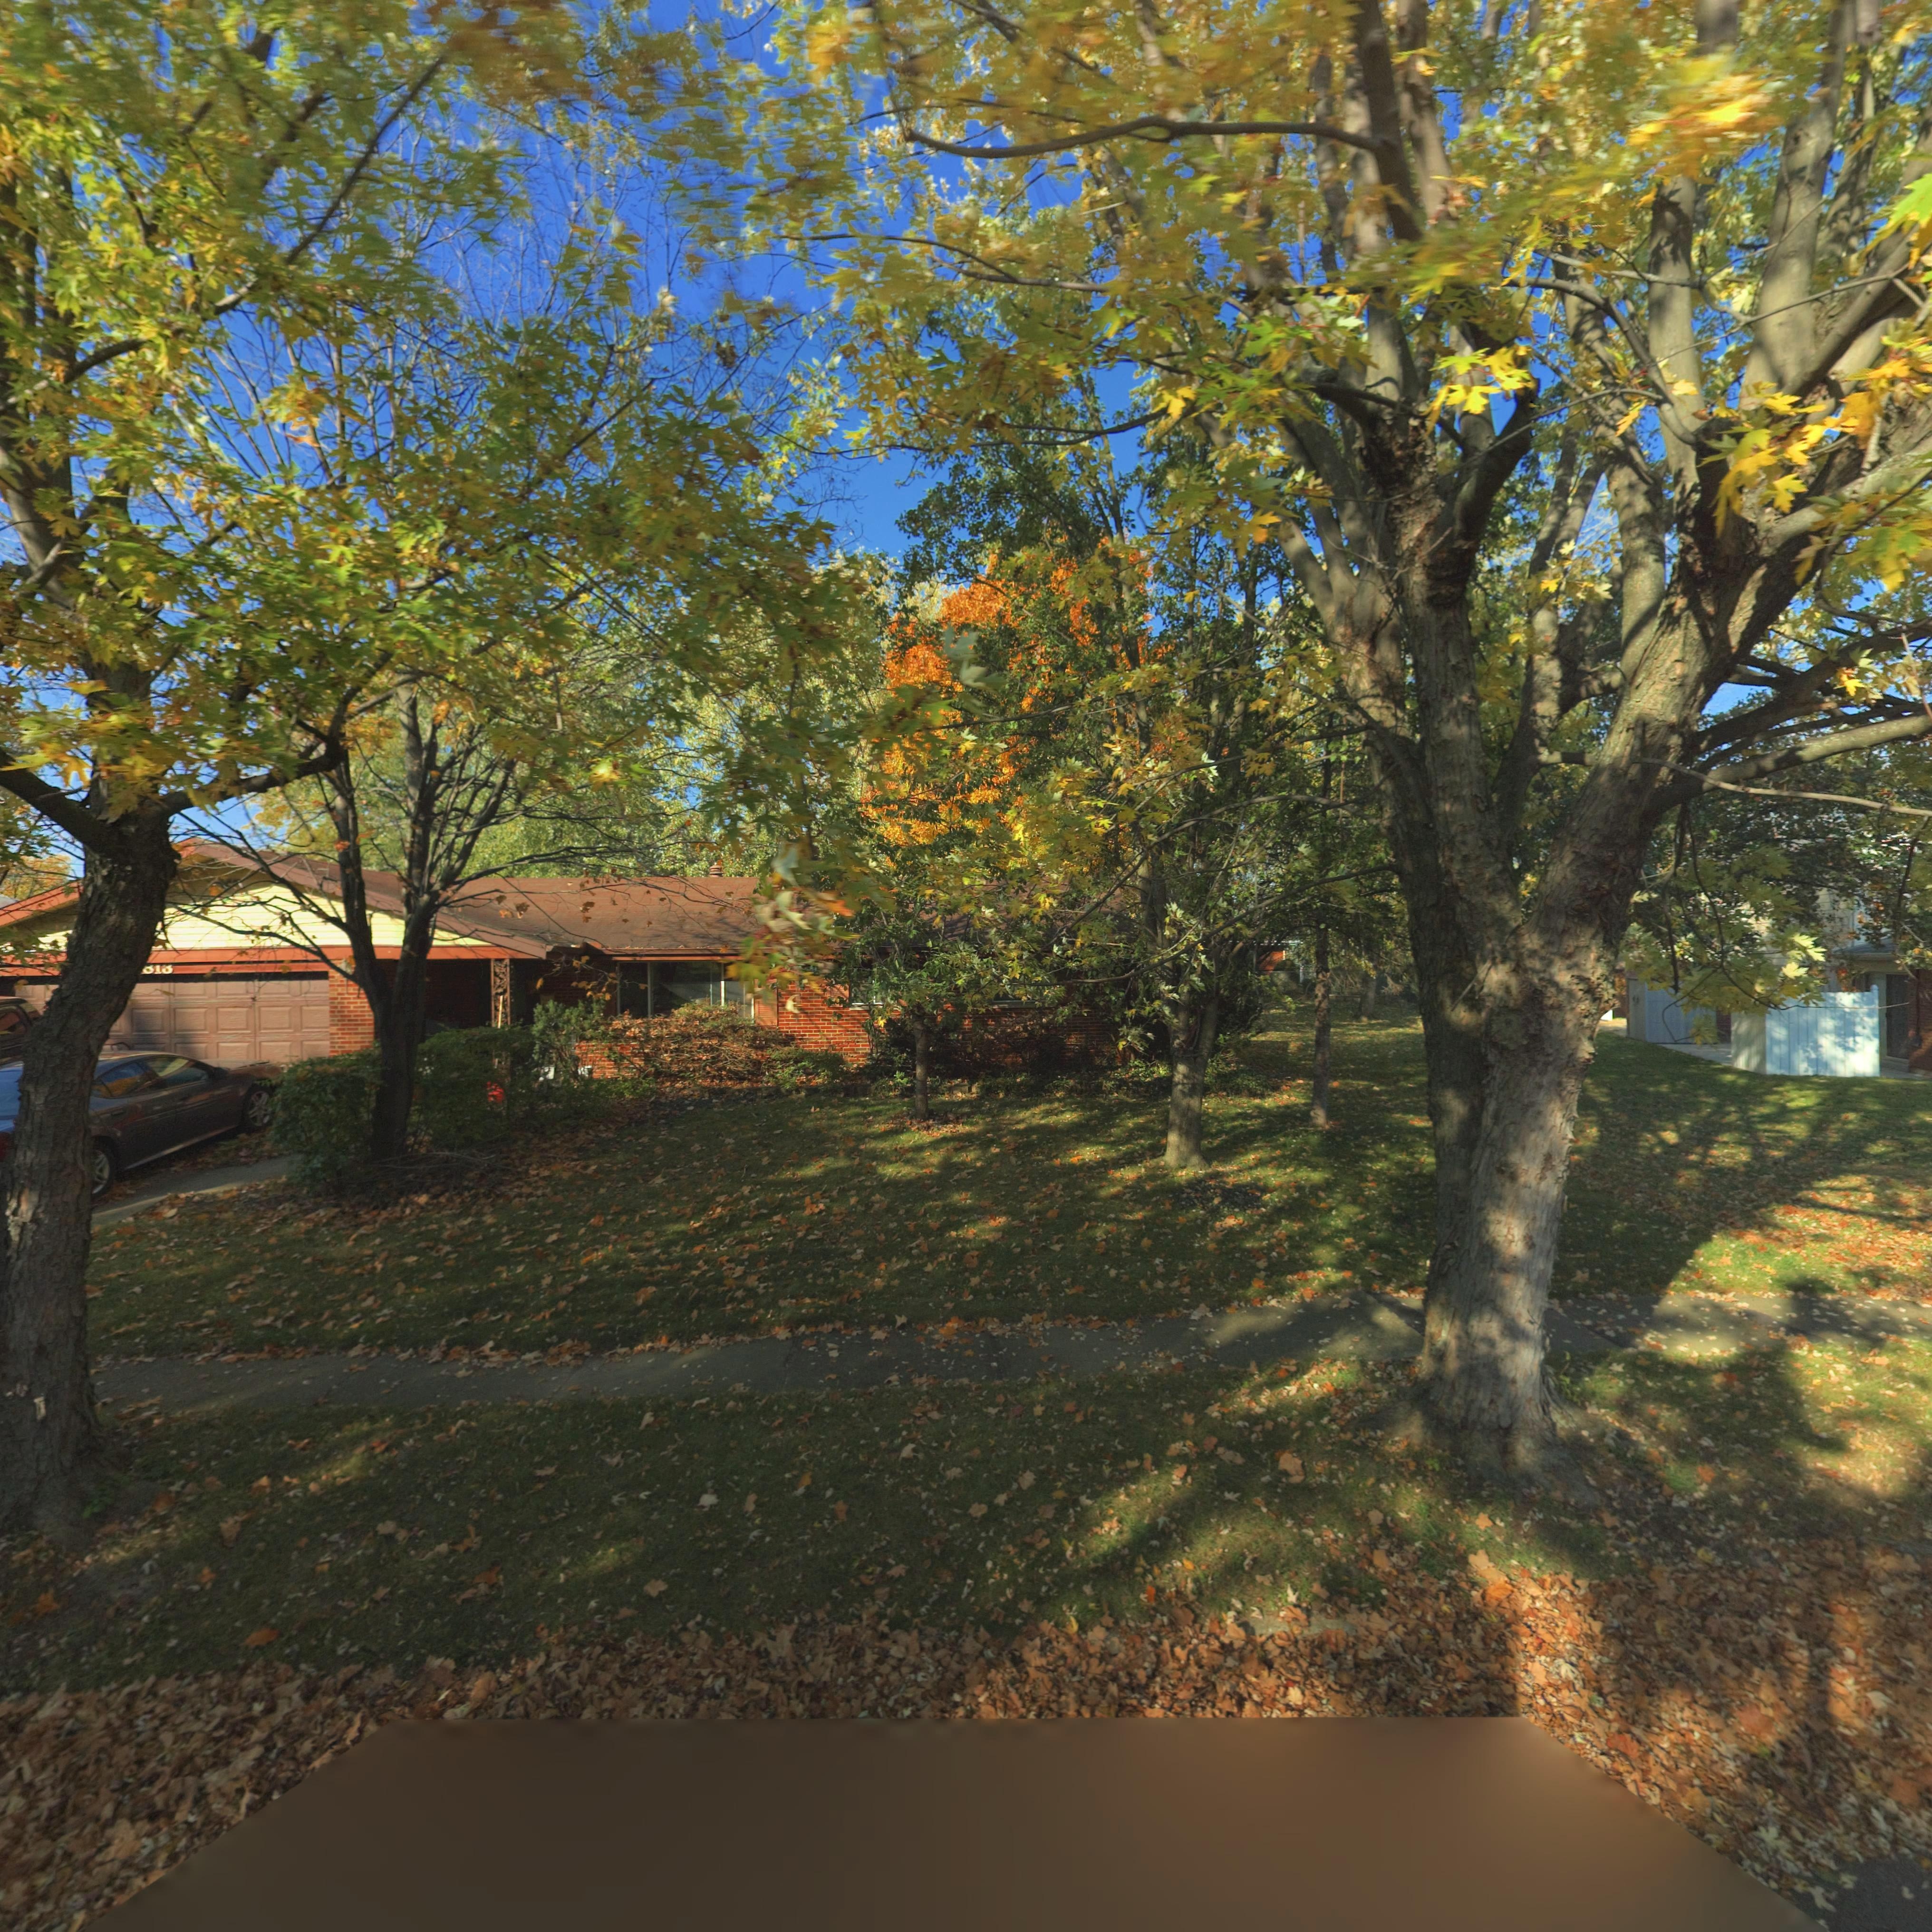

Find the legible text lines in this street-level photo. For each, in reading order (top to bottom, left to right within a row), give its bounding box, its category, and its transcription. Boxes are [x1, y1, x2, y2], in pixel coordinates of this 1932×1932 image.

[141, 961, 173, 975] StreetNumber: 813